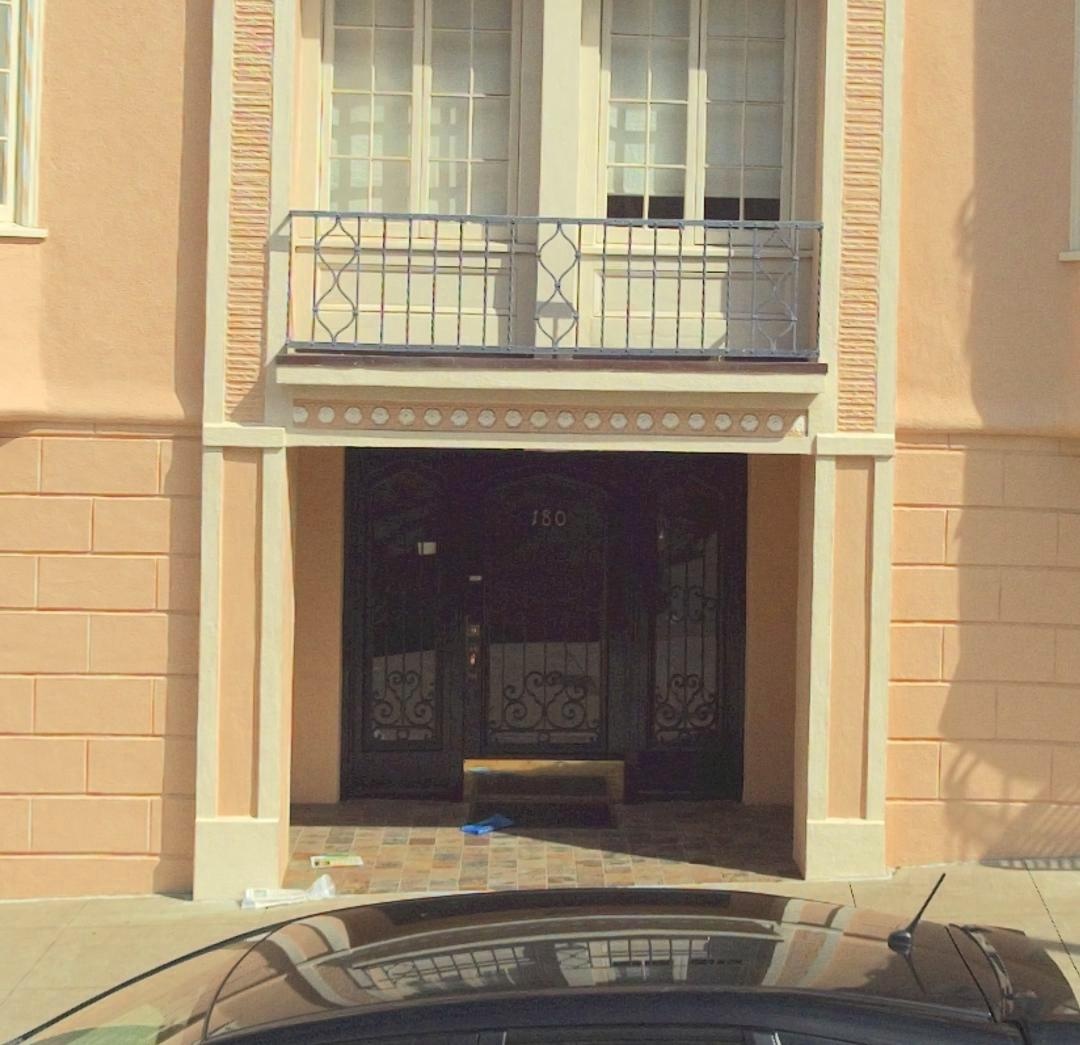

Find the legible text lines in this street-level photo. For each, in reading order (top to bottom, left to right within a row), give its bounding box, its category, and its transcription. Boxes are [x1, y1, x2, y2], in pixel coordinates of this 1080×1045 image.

[527, 507, 568, 529] StreetNumber: 180